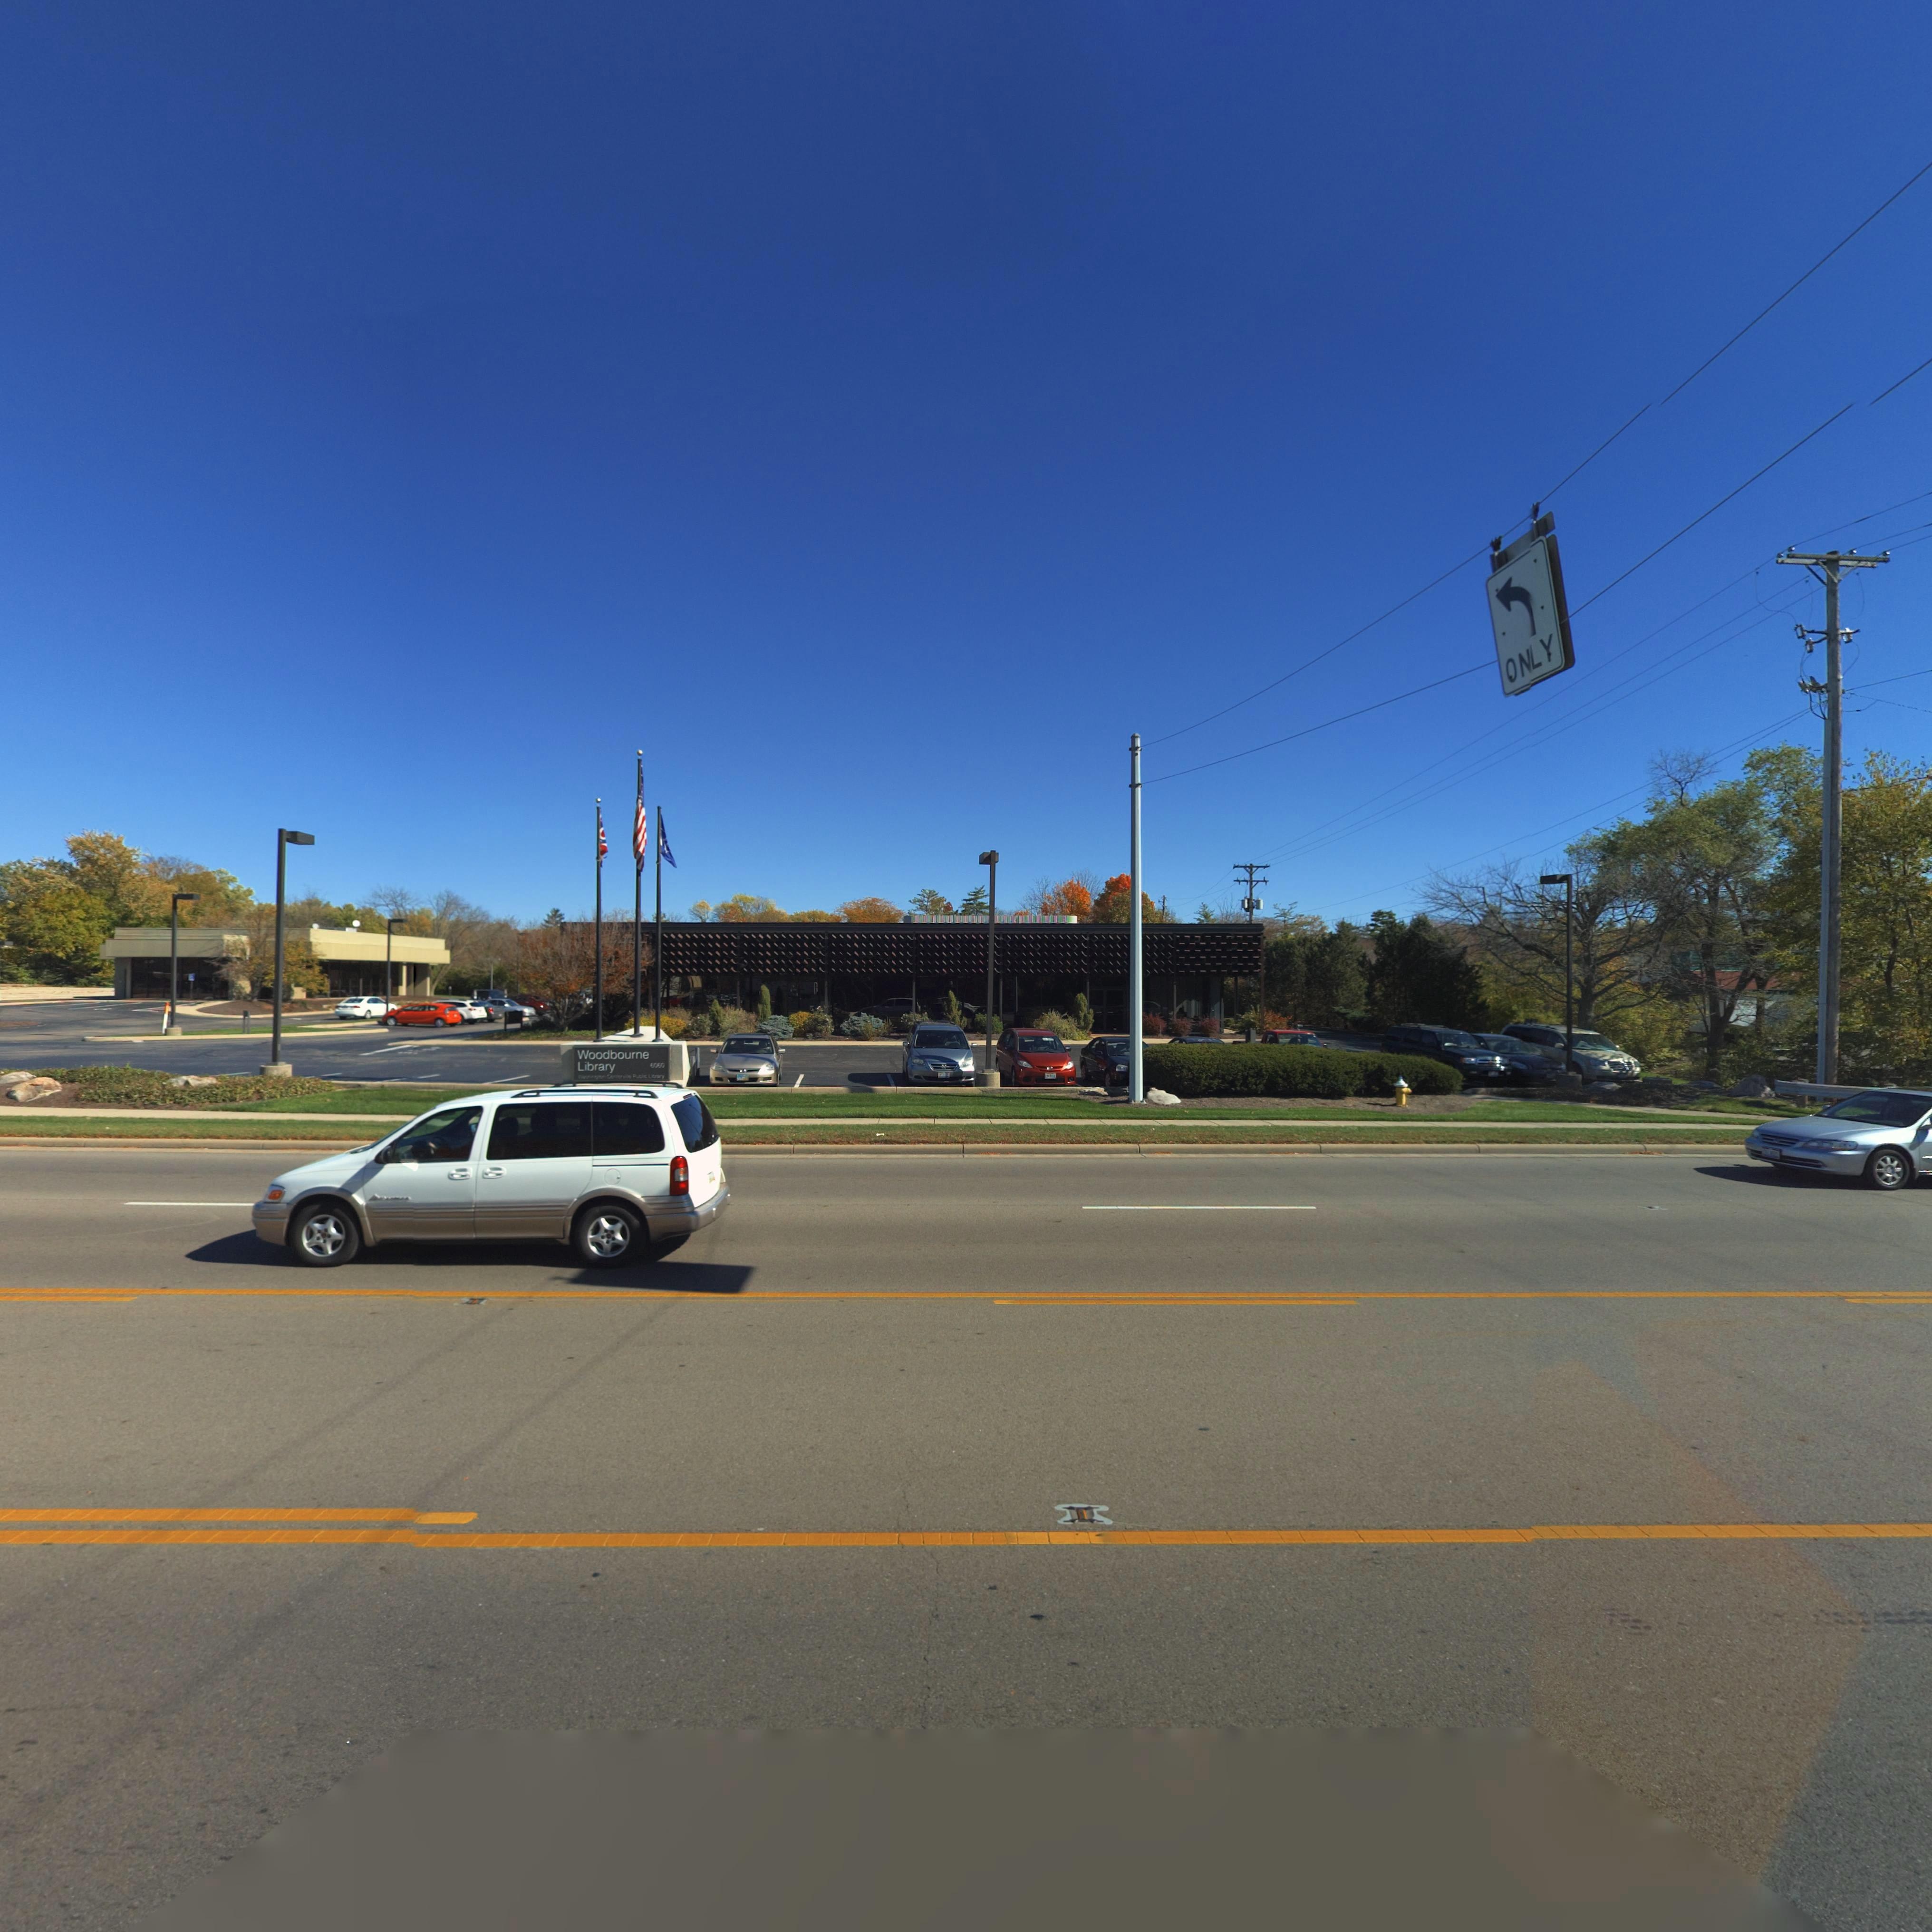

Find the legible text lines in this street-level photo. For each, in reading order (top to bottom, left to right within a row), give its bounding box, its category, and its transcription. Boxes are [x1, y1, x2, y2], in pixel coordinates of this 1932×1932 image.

[1505, 631, 1554, 685] StreetNumber: ONLY
[576, 1049, 649, 1060] BusinessName: Woodbourne
[577, 1061, 616, 1074] BusinessName: Library
[649, 1062, 666, 1069] StreetNumber: 6060
[632, 1073, 665, 1080] None: Public Library